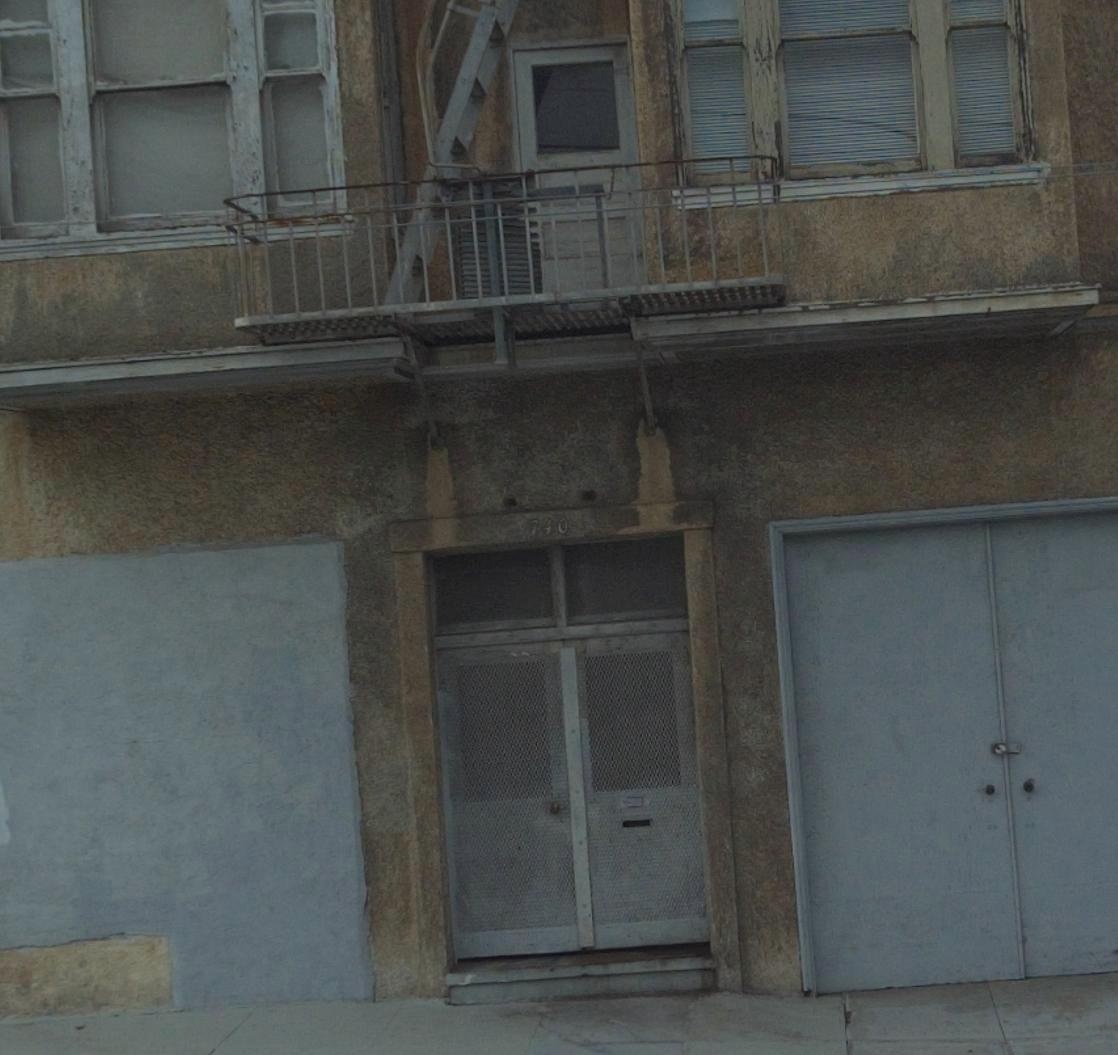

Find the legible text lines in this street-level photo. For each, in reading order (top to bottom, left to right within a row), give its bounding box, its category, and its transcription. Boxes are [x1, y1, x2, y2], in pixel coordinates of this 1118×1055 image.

[527, 516, 571, 538] StreetNumber: 740